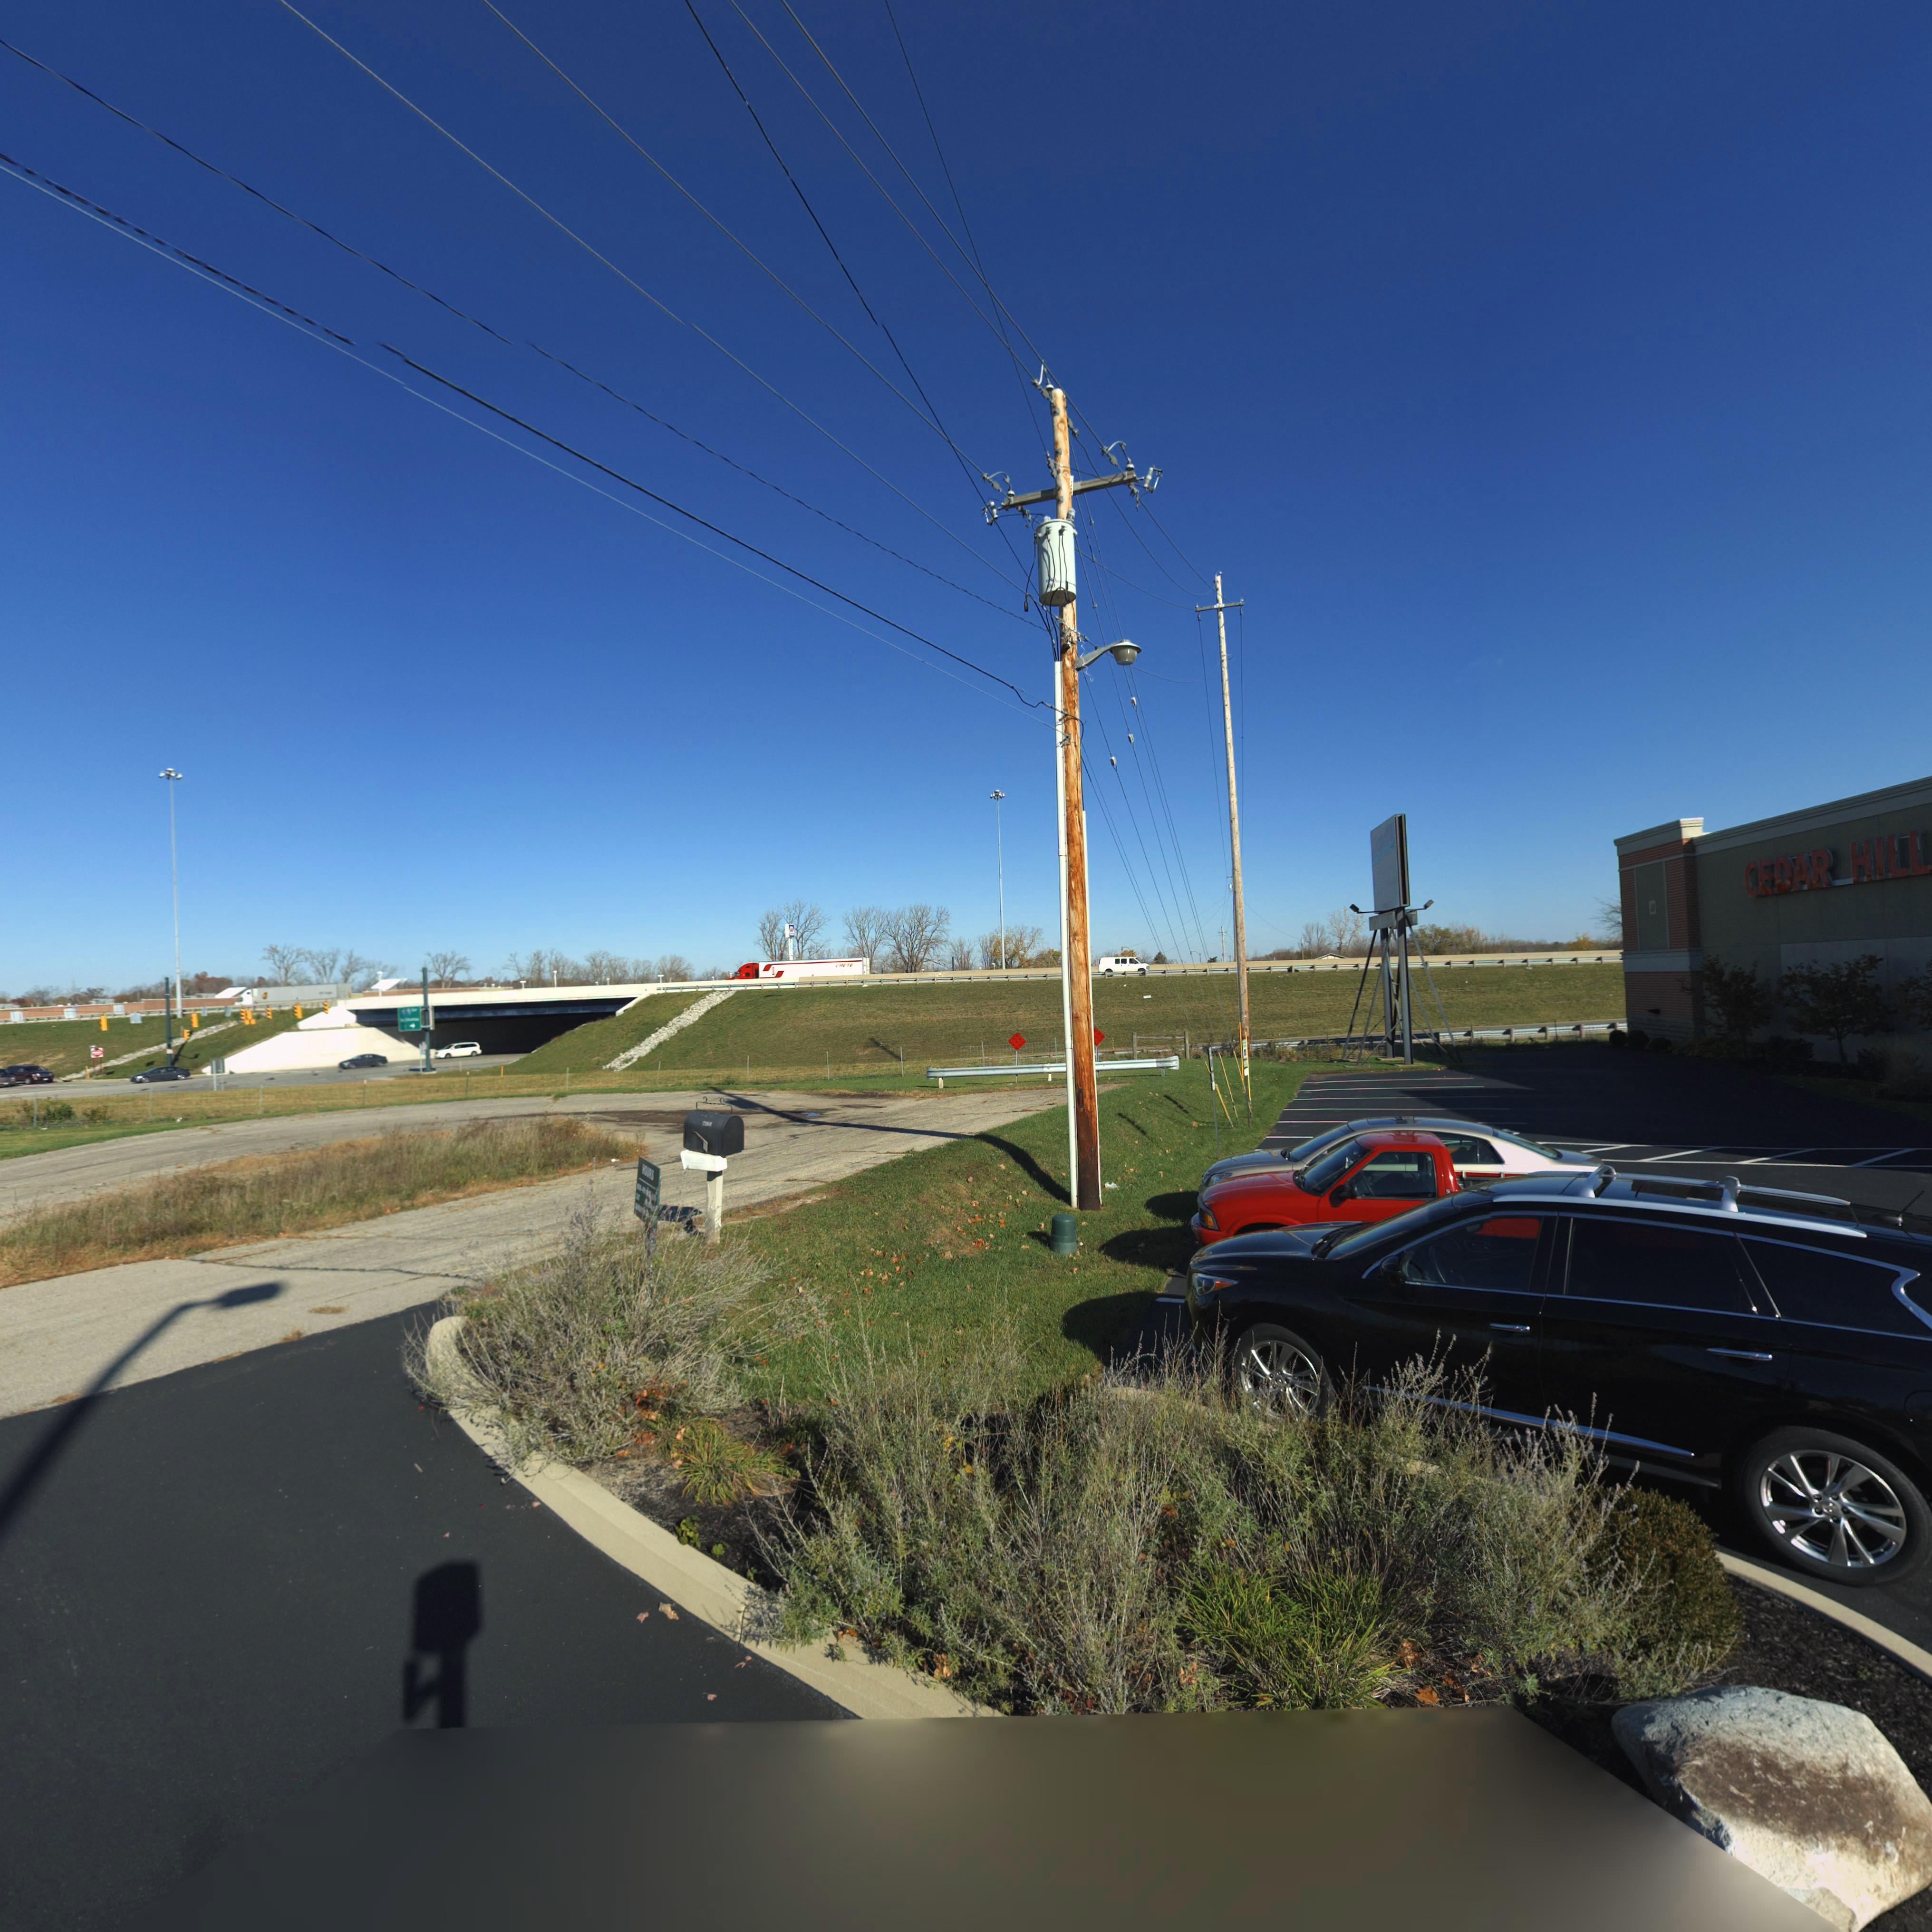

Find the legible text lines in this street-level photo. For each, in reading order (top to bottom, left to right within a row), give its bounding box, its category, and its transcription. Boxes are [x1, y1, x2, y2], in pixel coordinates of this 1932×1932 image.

[700, 1120, 713, 1128] StreetNumber: 7**4